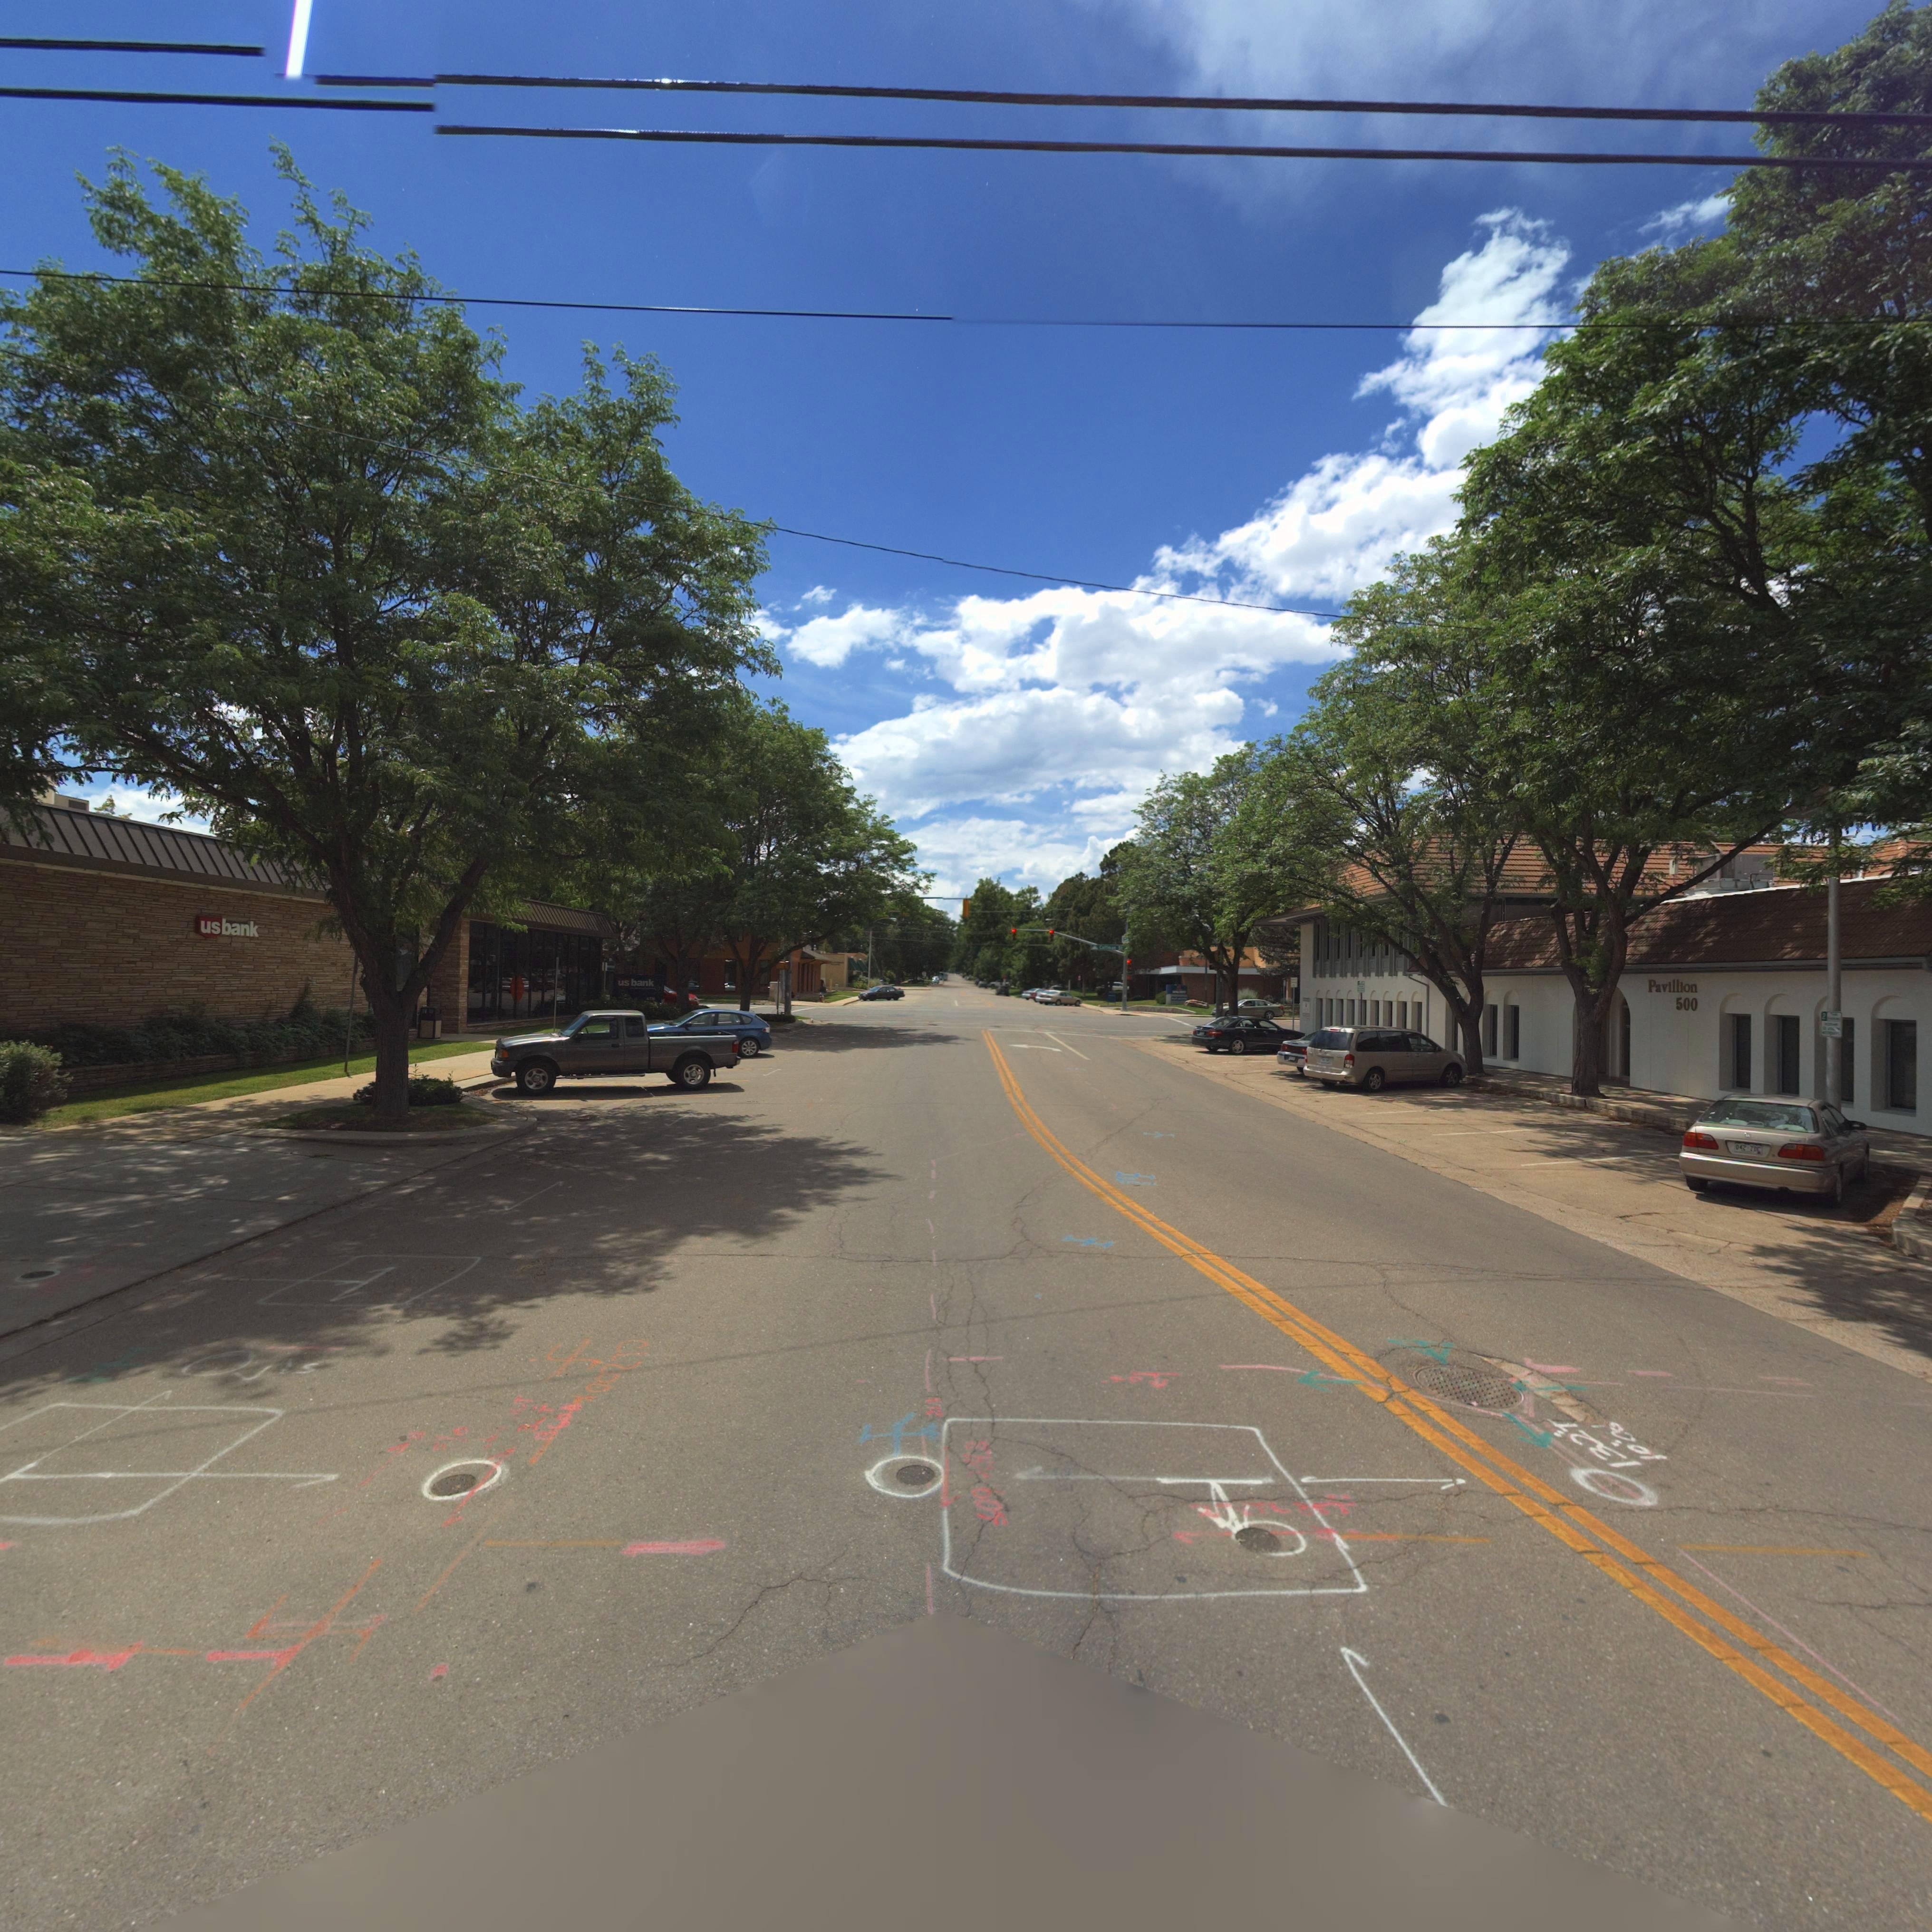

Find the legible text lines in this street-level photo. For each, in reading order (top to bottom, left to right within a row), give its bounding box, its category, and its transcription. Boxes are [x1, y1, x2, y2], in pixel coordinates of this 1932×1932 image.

[200, 917, 259, 937] BusinessName: usbank
[1099, 945, 1122, 950] StreetName: Coffman St
[618, 978, 654, 986] BusinessName: usbank
[1675, 996, 1698, 1011] StreetNumber: 500